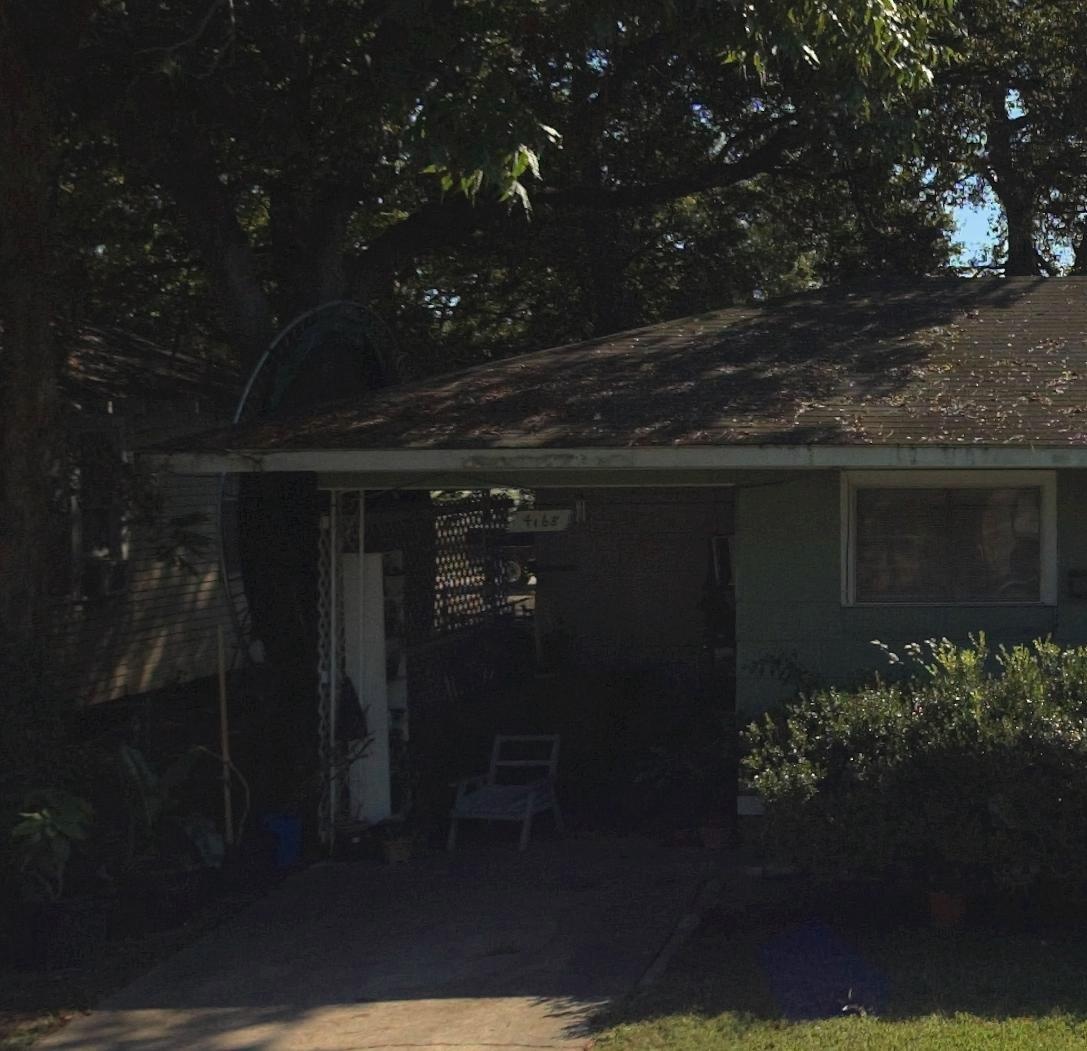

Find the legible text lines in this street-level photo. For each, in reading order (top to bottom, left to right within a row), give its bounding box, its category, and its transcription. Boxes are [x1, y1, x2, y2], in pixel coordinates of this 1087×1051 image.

[521, 511, 561, 529] StreetNumber: 4168